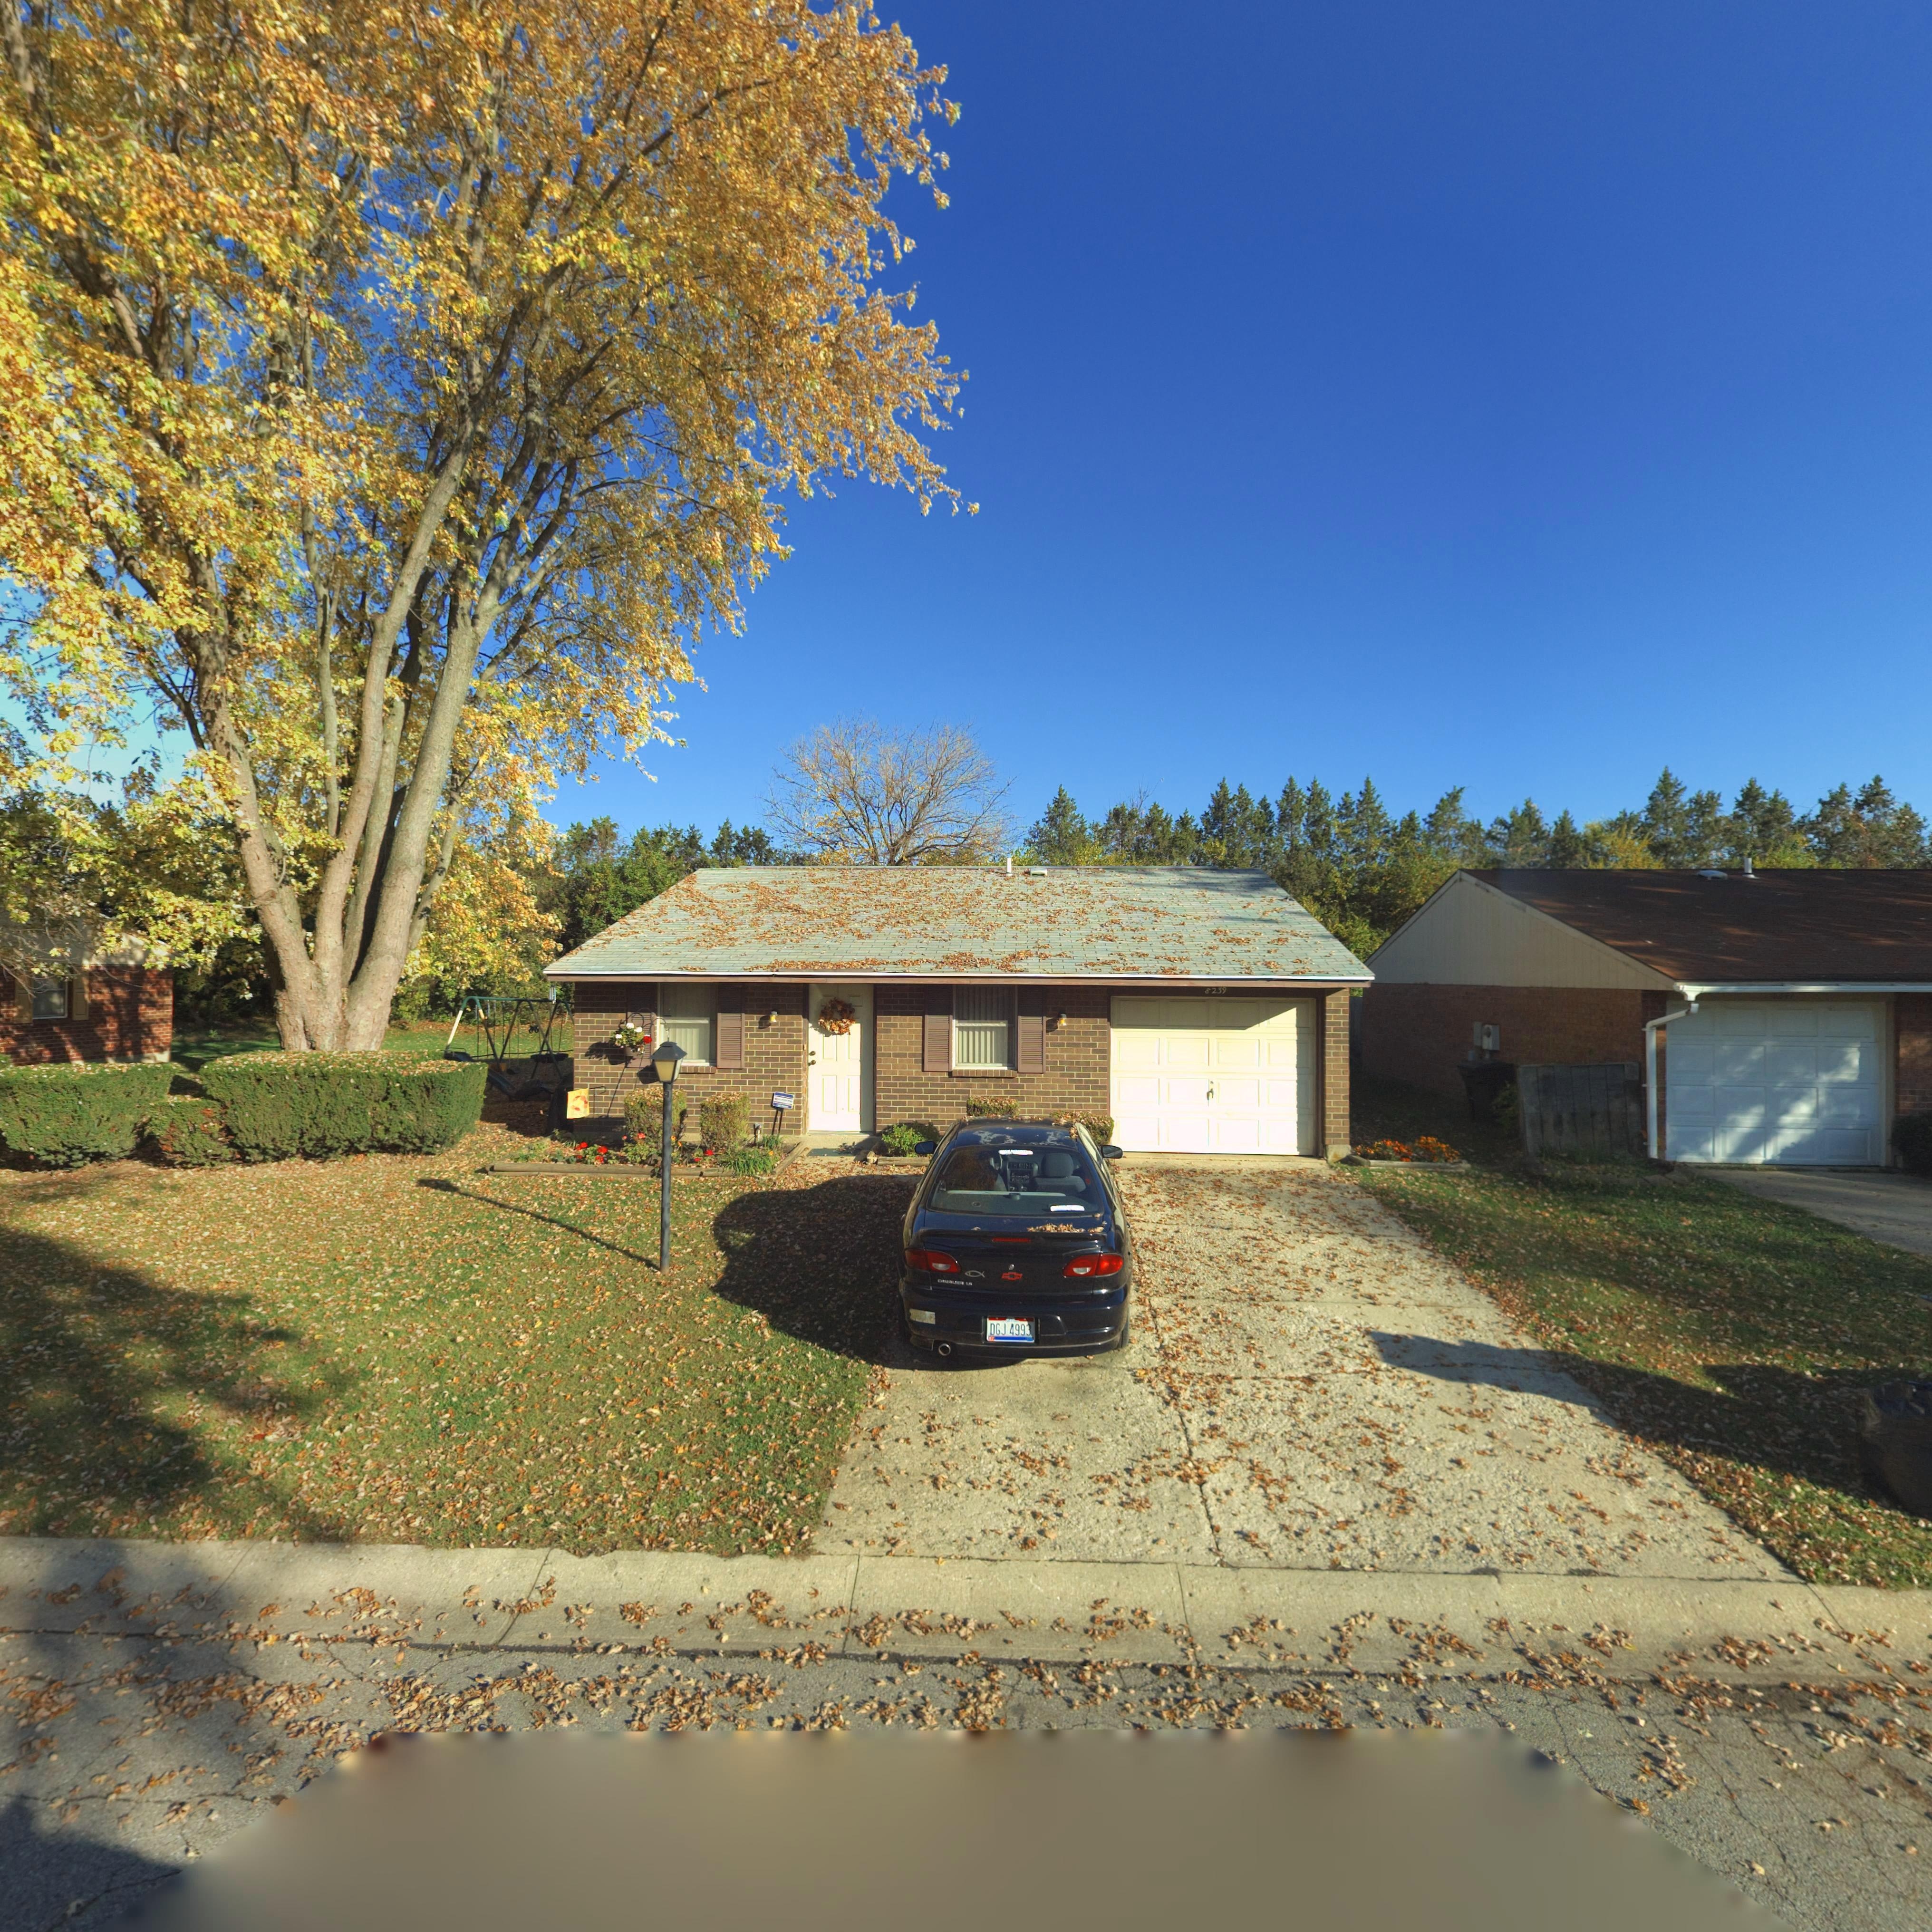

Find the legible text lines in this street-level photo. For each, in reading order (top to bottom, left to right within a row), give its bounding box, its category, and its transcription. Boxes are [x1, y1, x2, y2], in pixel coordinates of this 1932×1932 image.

[1203, 986, 1227, 995] StreetNumber: 8239
[1771, 992, 1797, 1000] StreetNumber: *2**